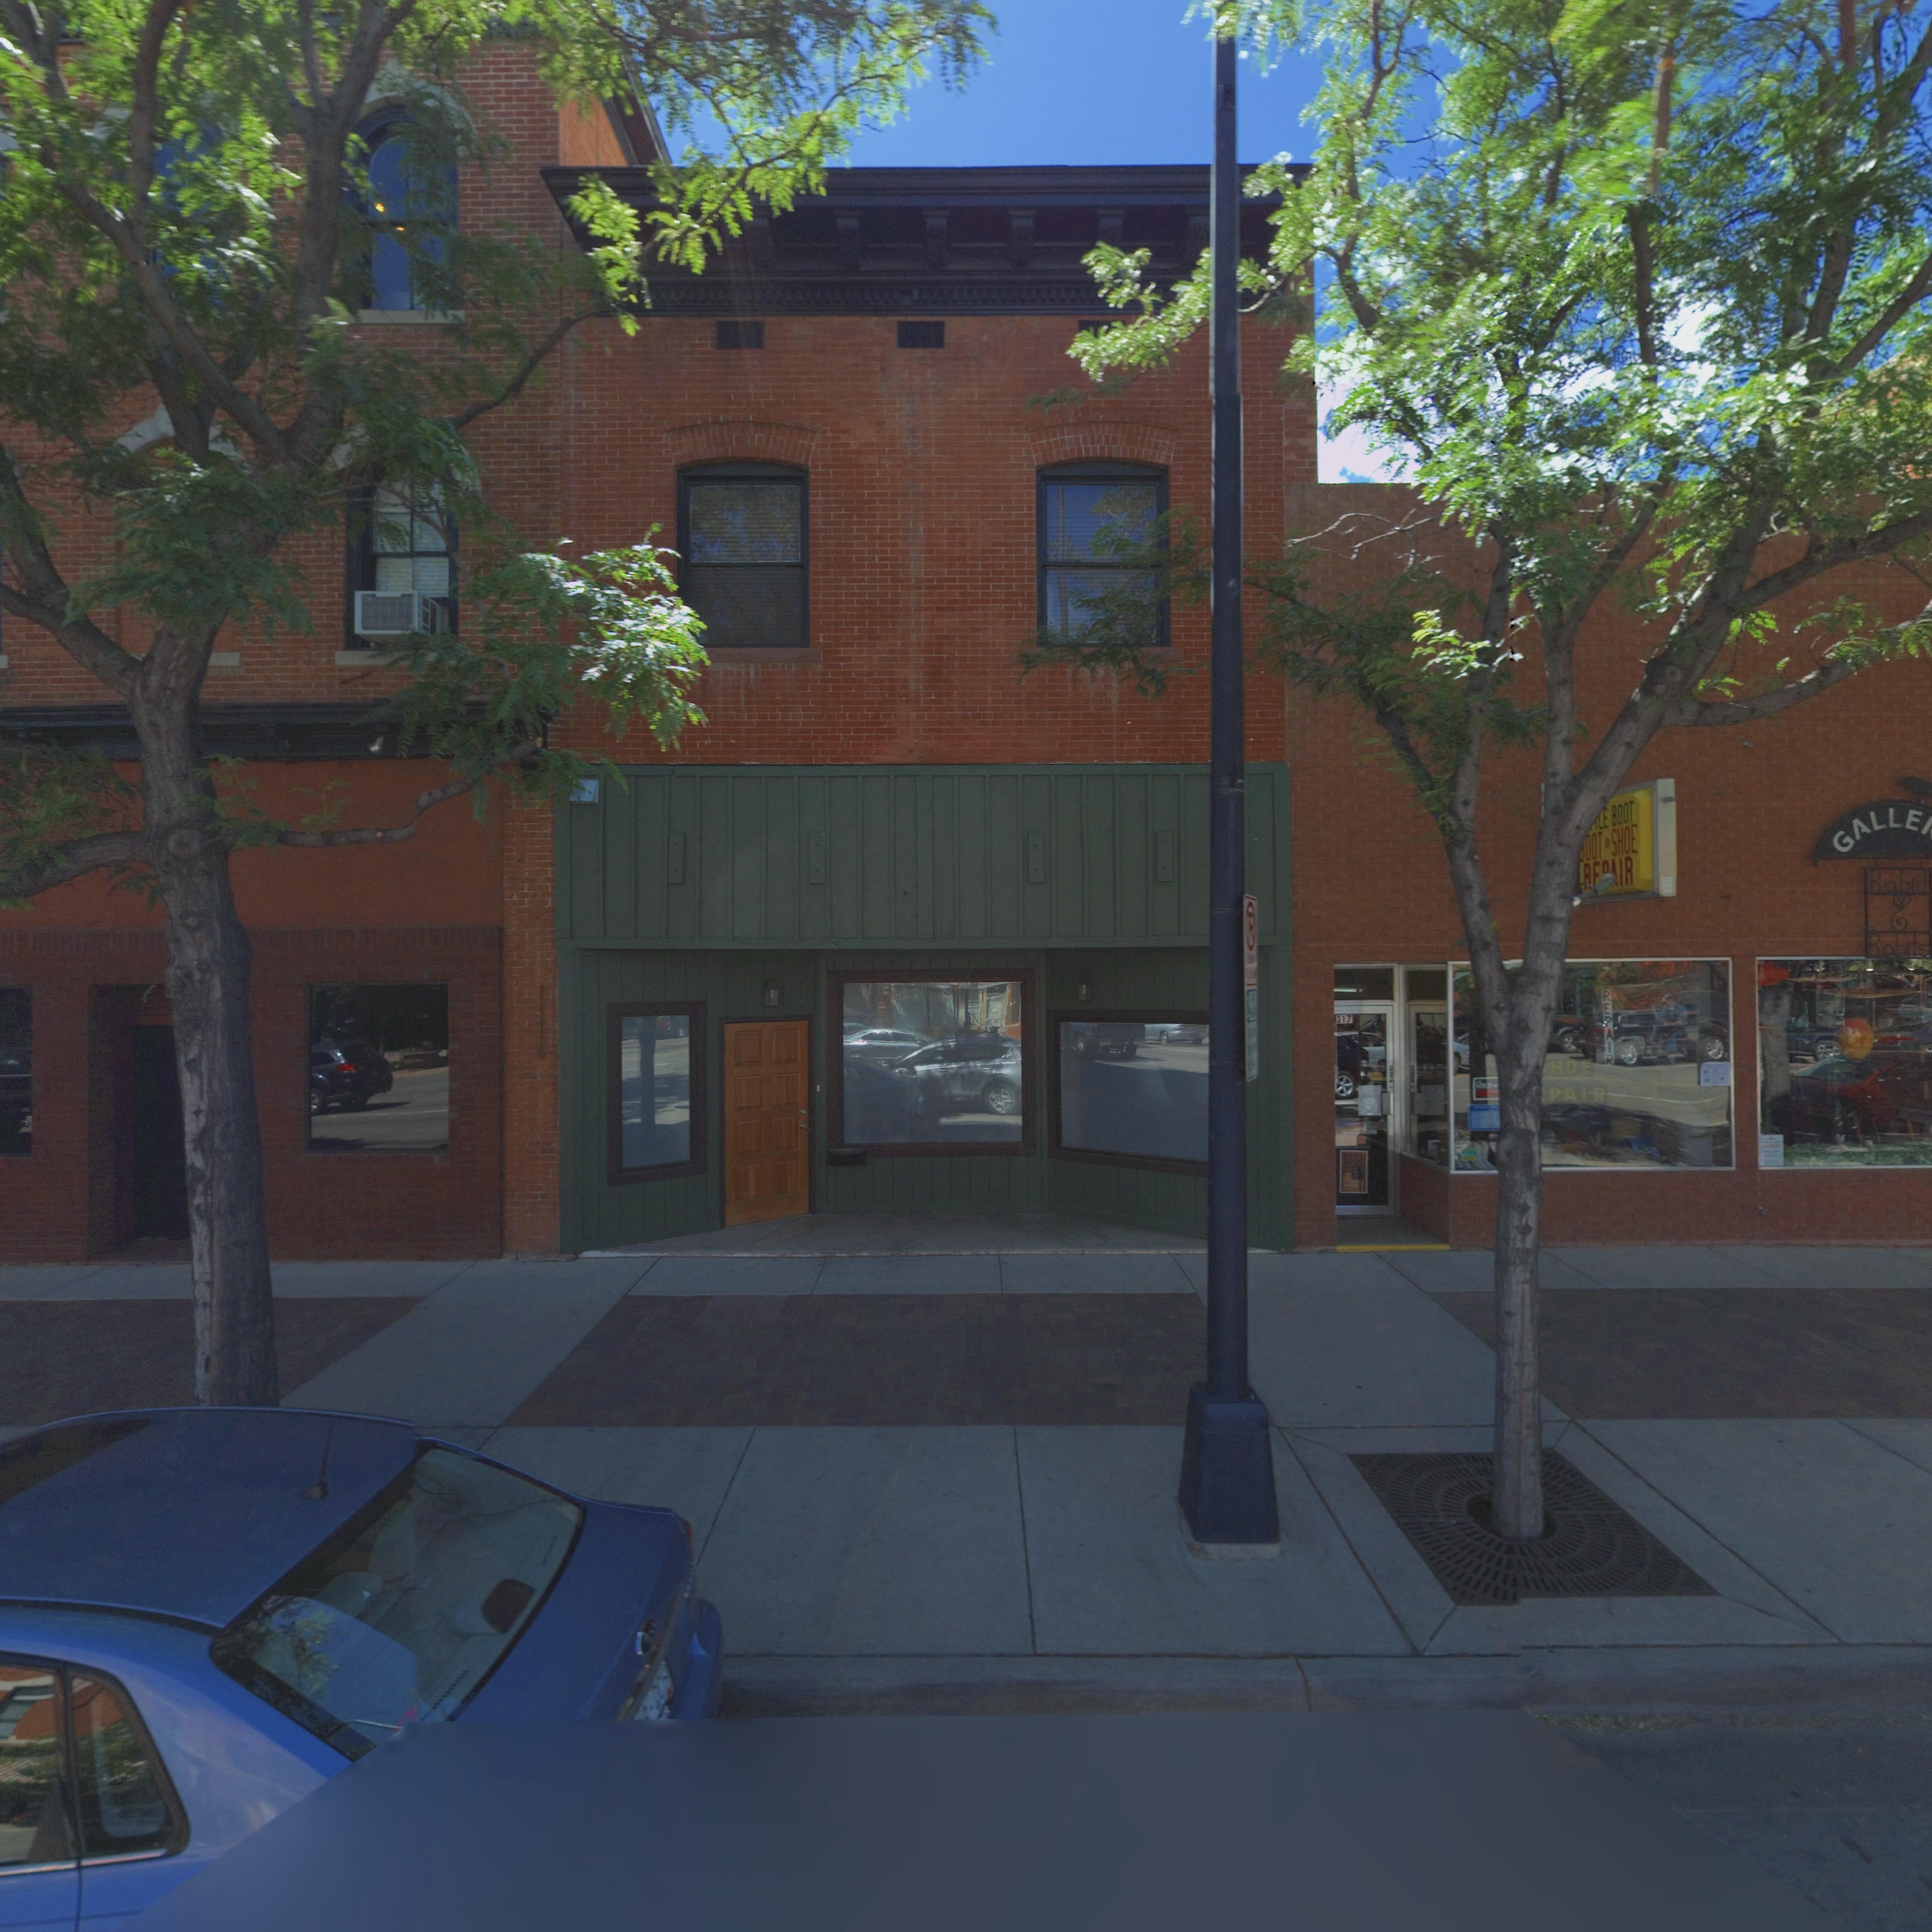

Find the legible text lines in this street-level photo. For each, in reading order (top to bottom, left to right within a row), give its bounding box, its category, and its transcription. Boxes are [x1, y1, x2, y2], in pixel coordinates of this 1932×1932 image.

[1602, 799, 1634, 828] BusinessName: E BOOT
[1869, 869, 1928, 893] BusinessName: Rabid
[1868, 932, 1931, 956] BusinessName: Rabits
[1336, 1014, 1351, 1023] StreetNumber: 317